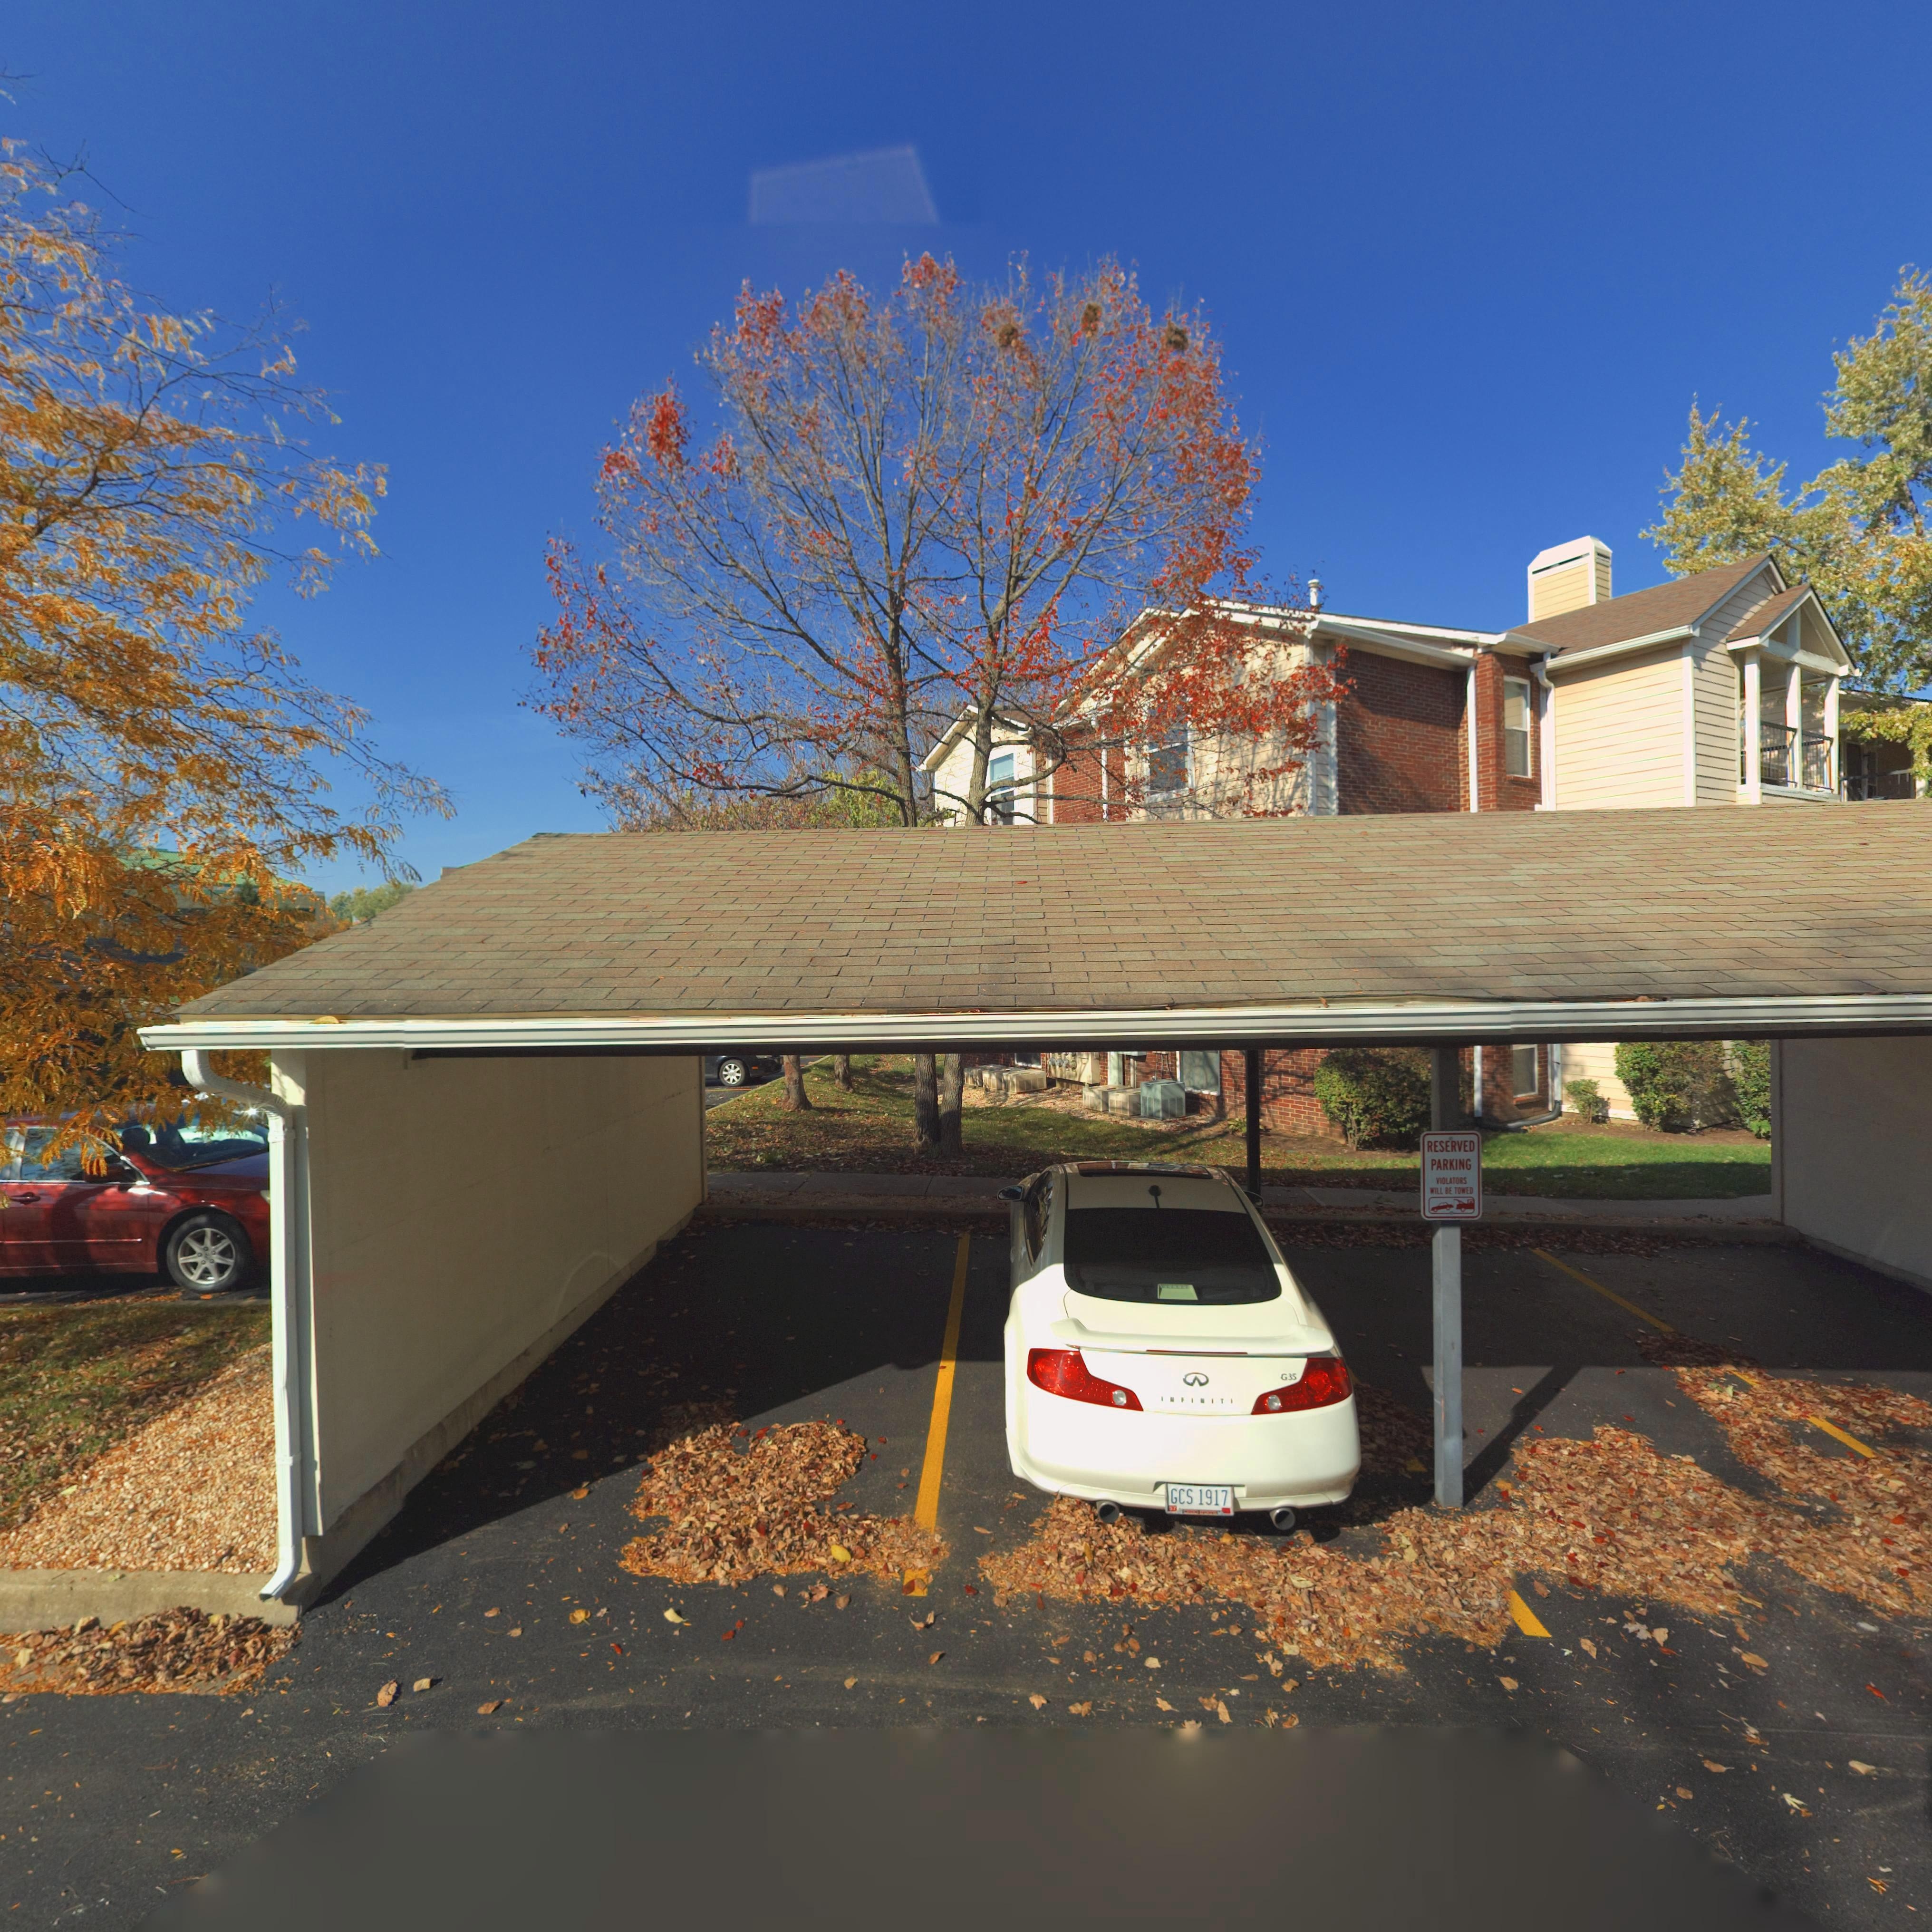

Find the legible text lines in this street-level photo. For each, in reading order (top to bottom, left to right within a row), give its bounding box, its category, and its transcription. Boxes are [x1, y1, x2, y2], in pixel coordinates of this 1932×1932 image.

[1426, 1138, 1477, 1154] None: RESERVED
[1430, 1157, 1473, 1172] None: PARKING
[1434, 1175, 1469, 1186] None: VIOLATORS
[1429, 1186, 1475, 1196] None: *ILL BE TO*ED
[1279, 1372, 1298, 1382] None: G35
[1160, 1395, 1235, 1405] None: INFINITI
[1169, 1487, 1229, 1507] None: GCS 1917
[1169, 1506, 1177, 1512] None: 57